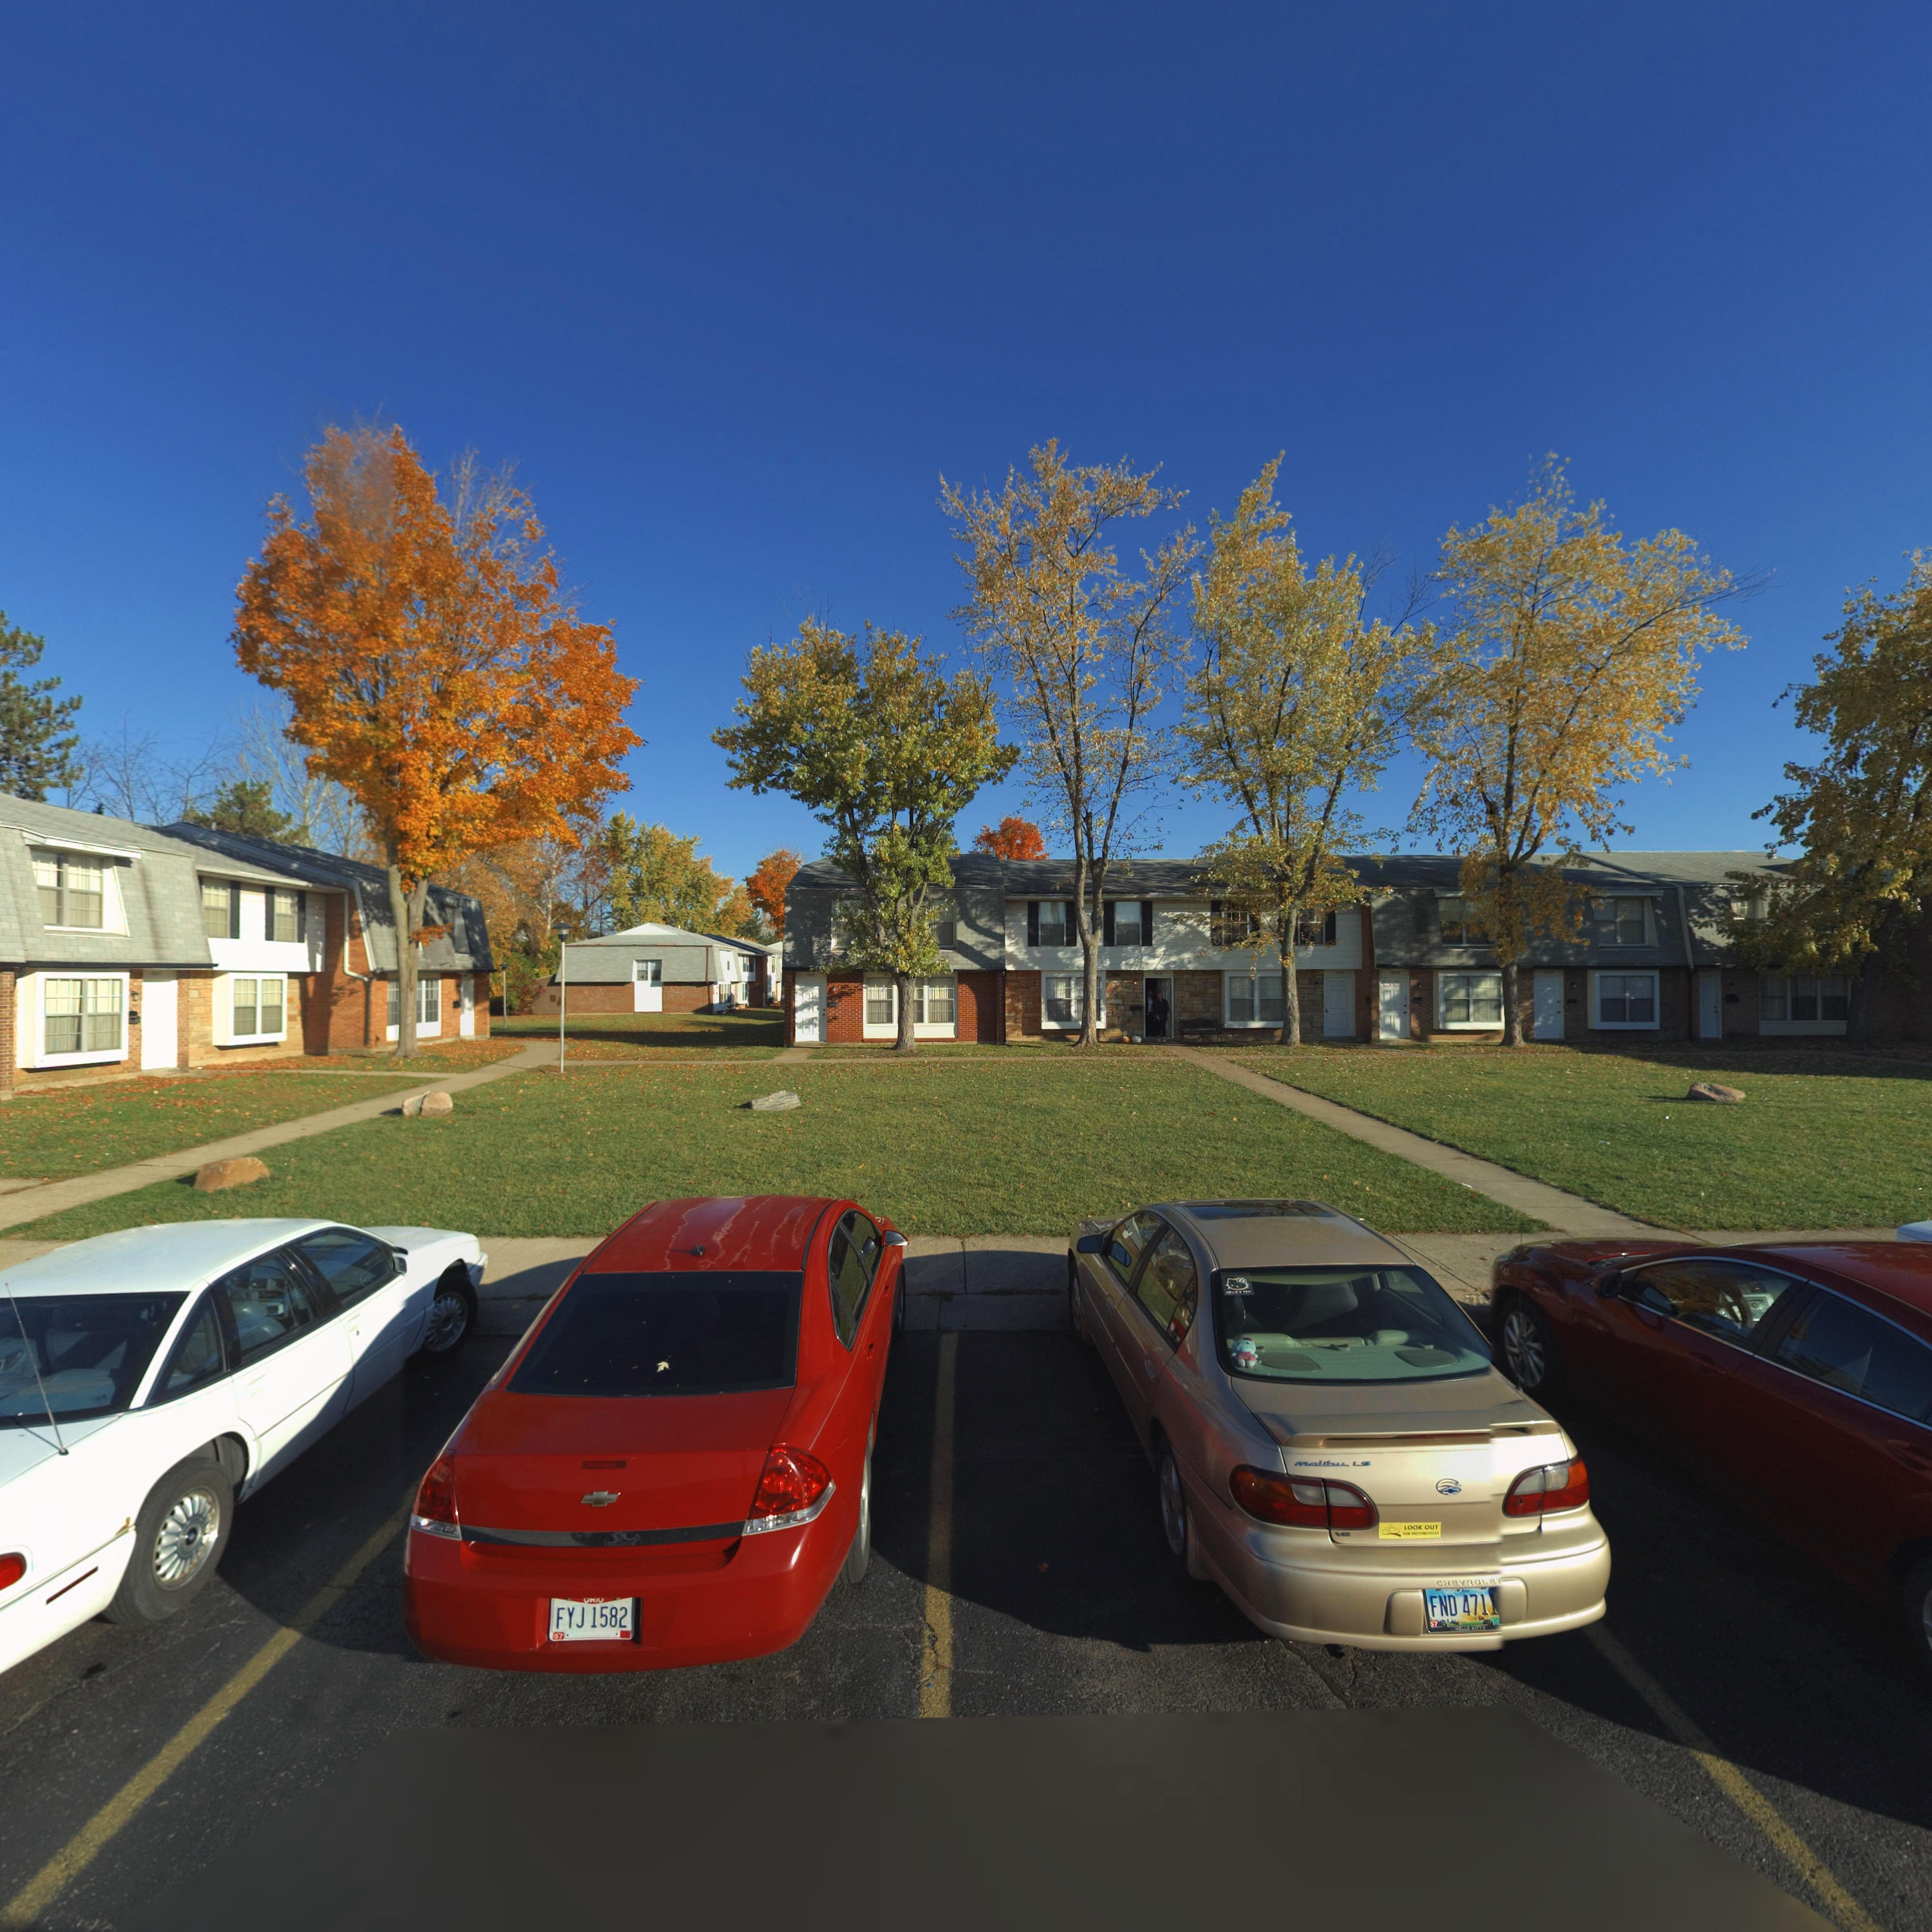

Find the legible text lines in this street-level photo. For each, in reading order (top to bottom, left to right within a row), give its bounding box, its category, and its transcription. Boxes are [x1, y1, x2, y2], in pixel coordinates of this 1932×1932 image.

[805, 973, 815, 977] StreetNumber: 76*9
[1153, 971, 1163, 976] StreetNumber: 7691
[1335, 971, 1345, 975] StreetNumber: 7***
[1389, 971, 1401, 975] StreetNumber: 7***
[1542, 970, 1555, 974] StreetNumber: 7**7